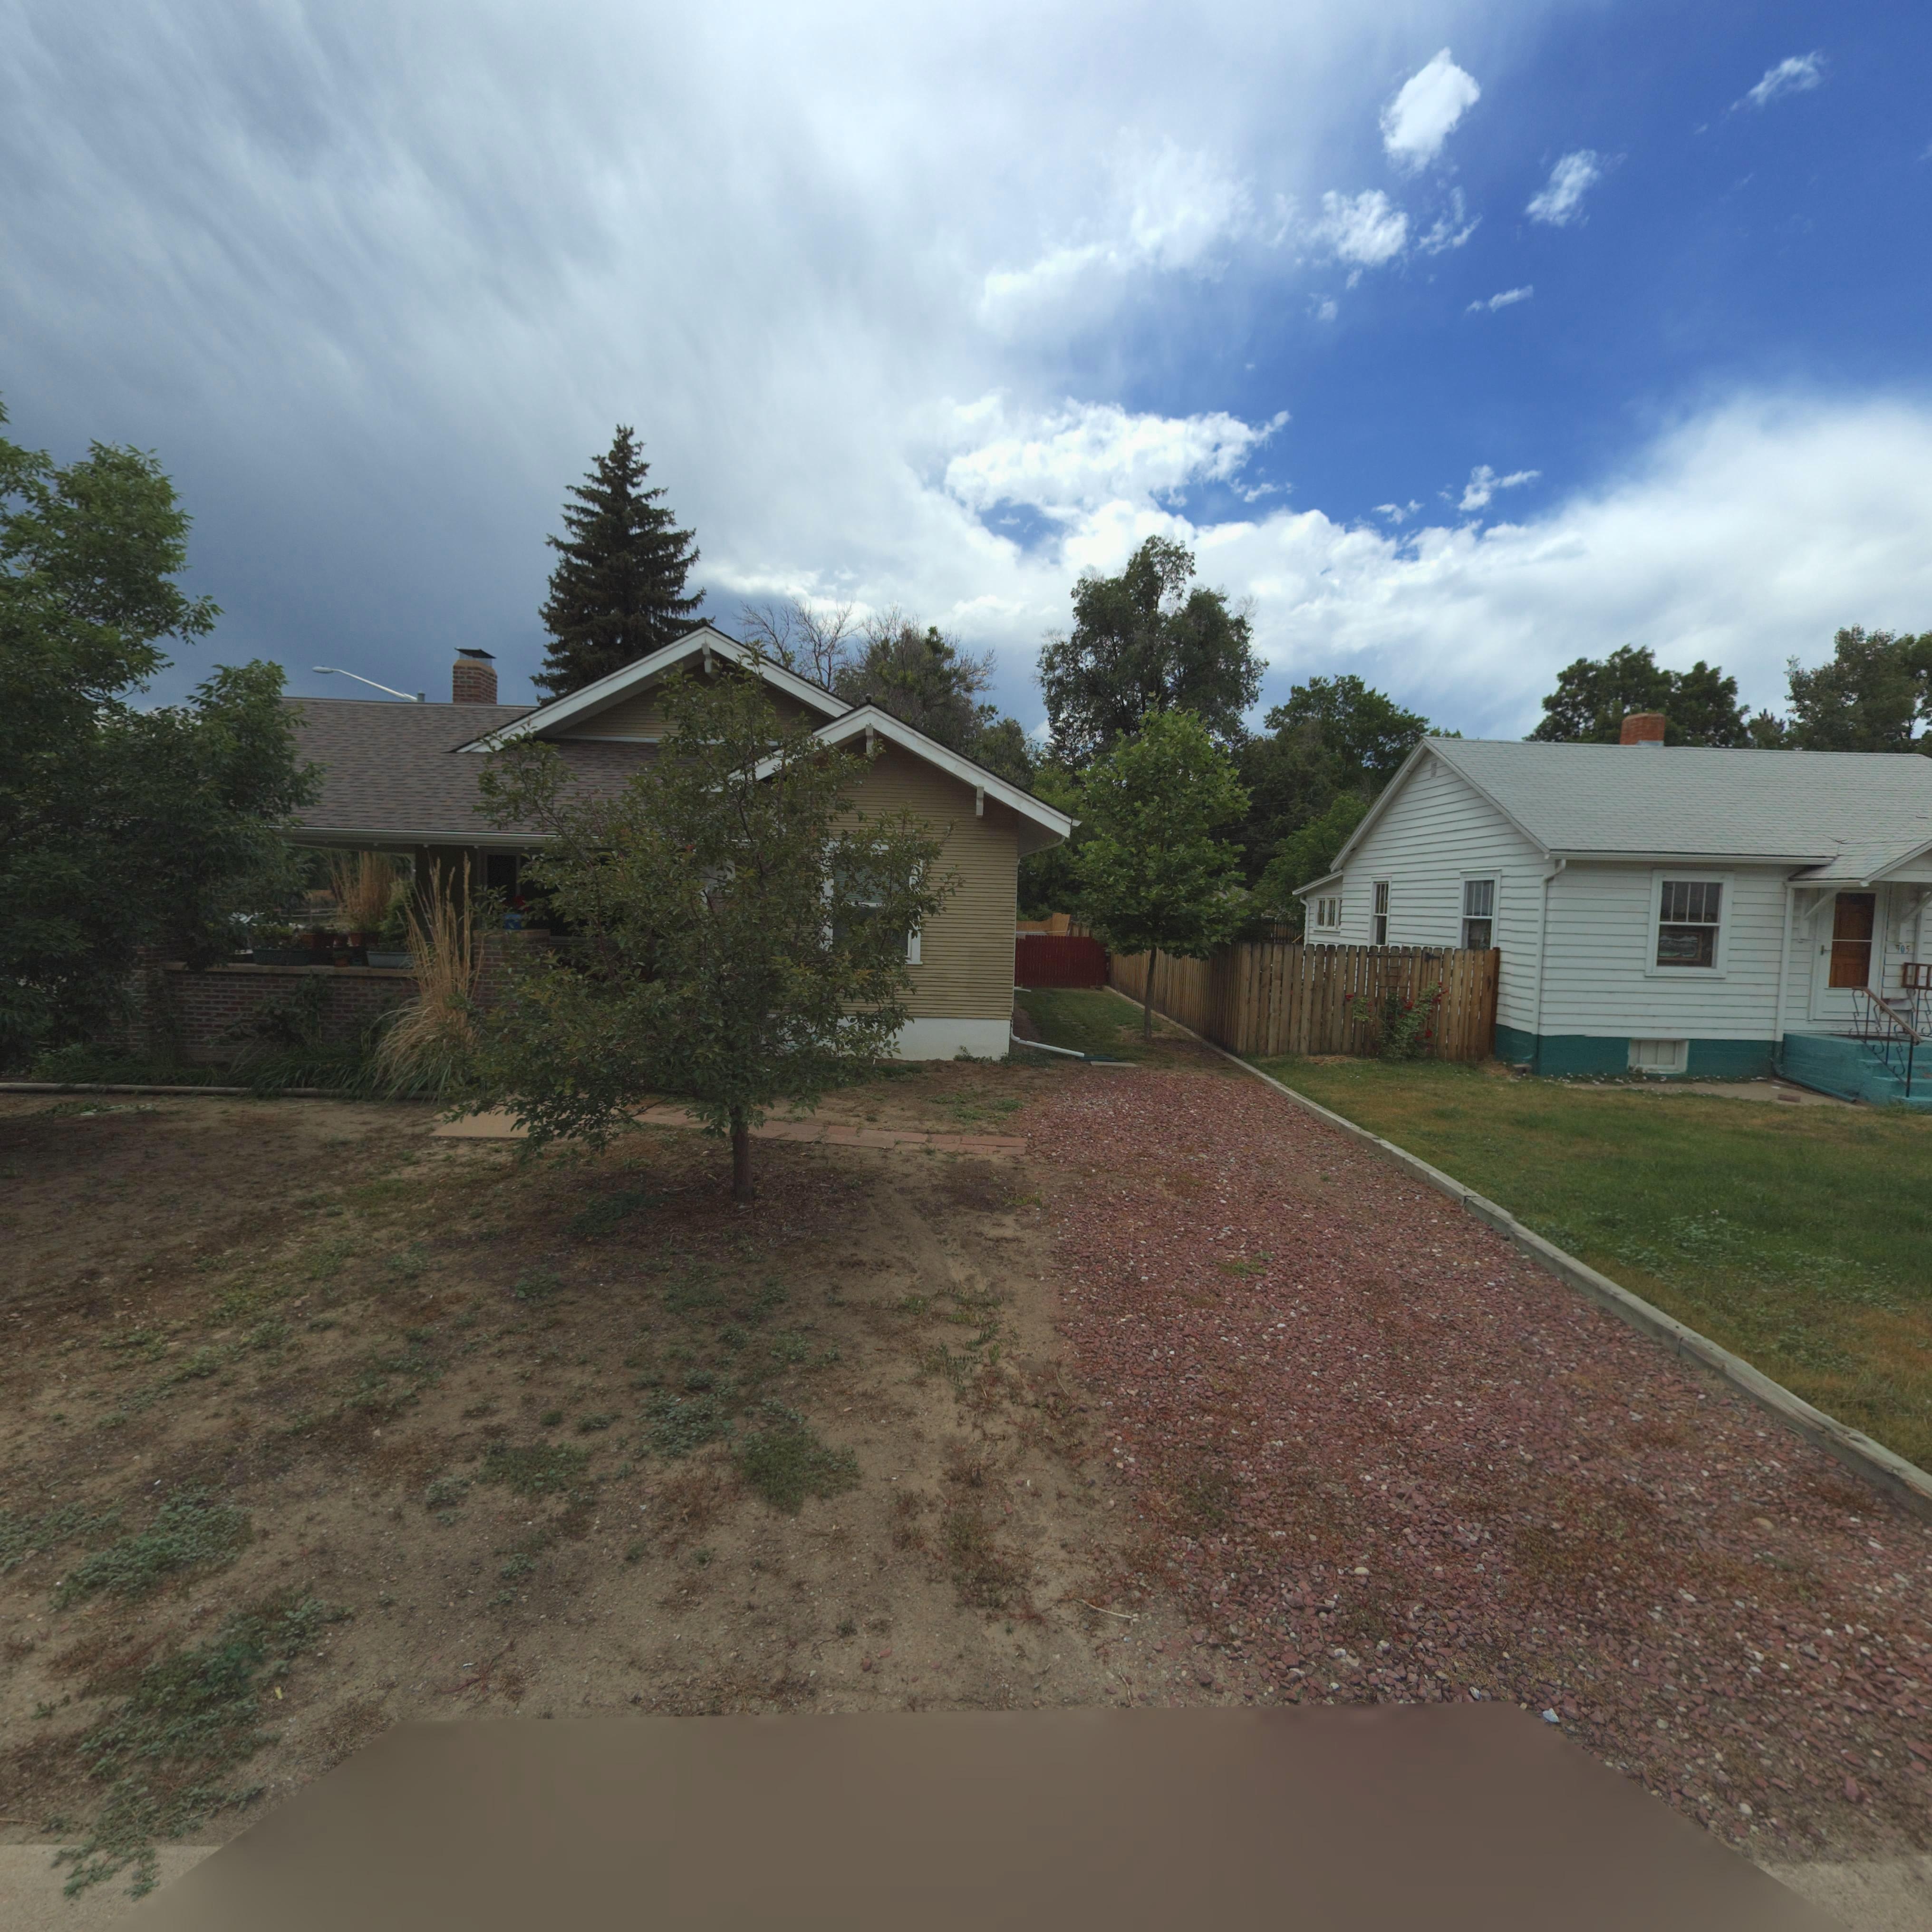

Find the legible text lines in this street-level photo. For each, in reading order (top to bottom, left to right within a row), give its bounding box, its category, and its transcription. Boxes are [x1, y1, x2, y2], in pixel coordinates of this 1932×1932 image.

[1895, 945, 1910, 954] StreetNumber: 905